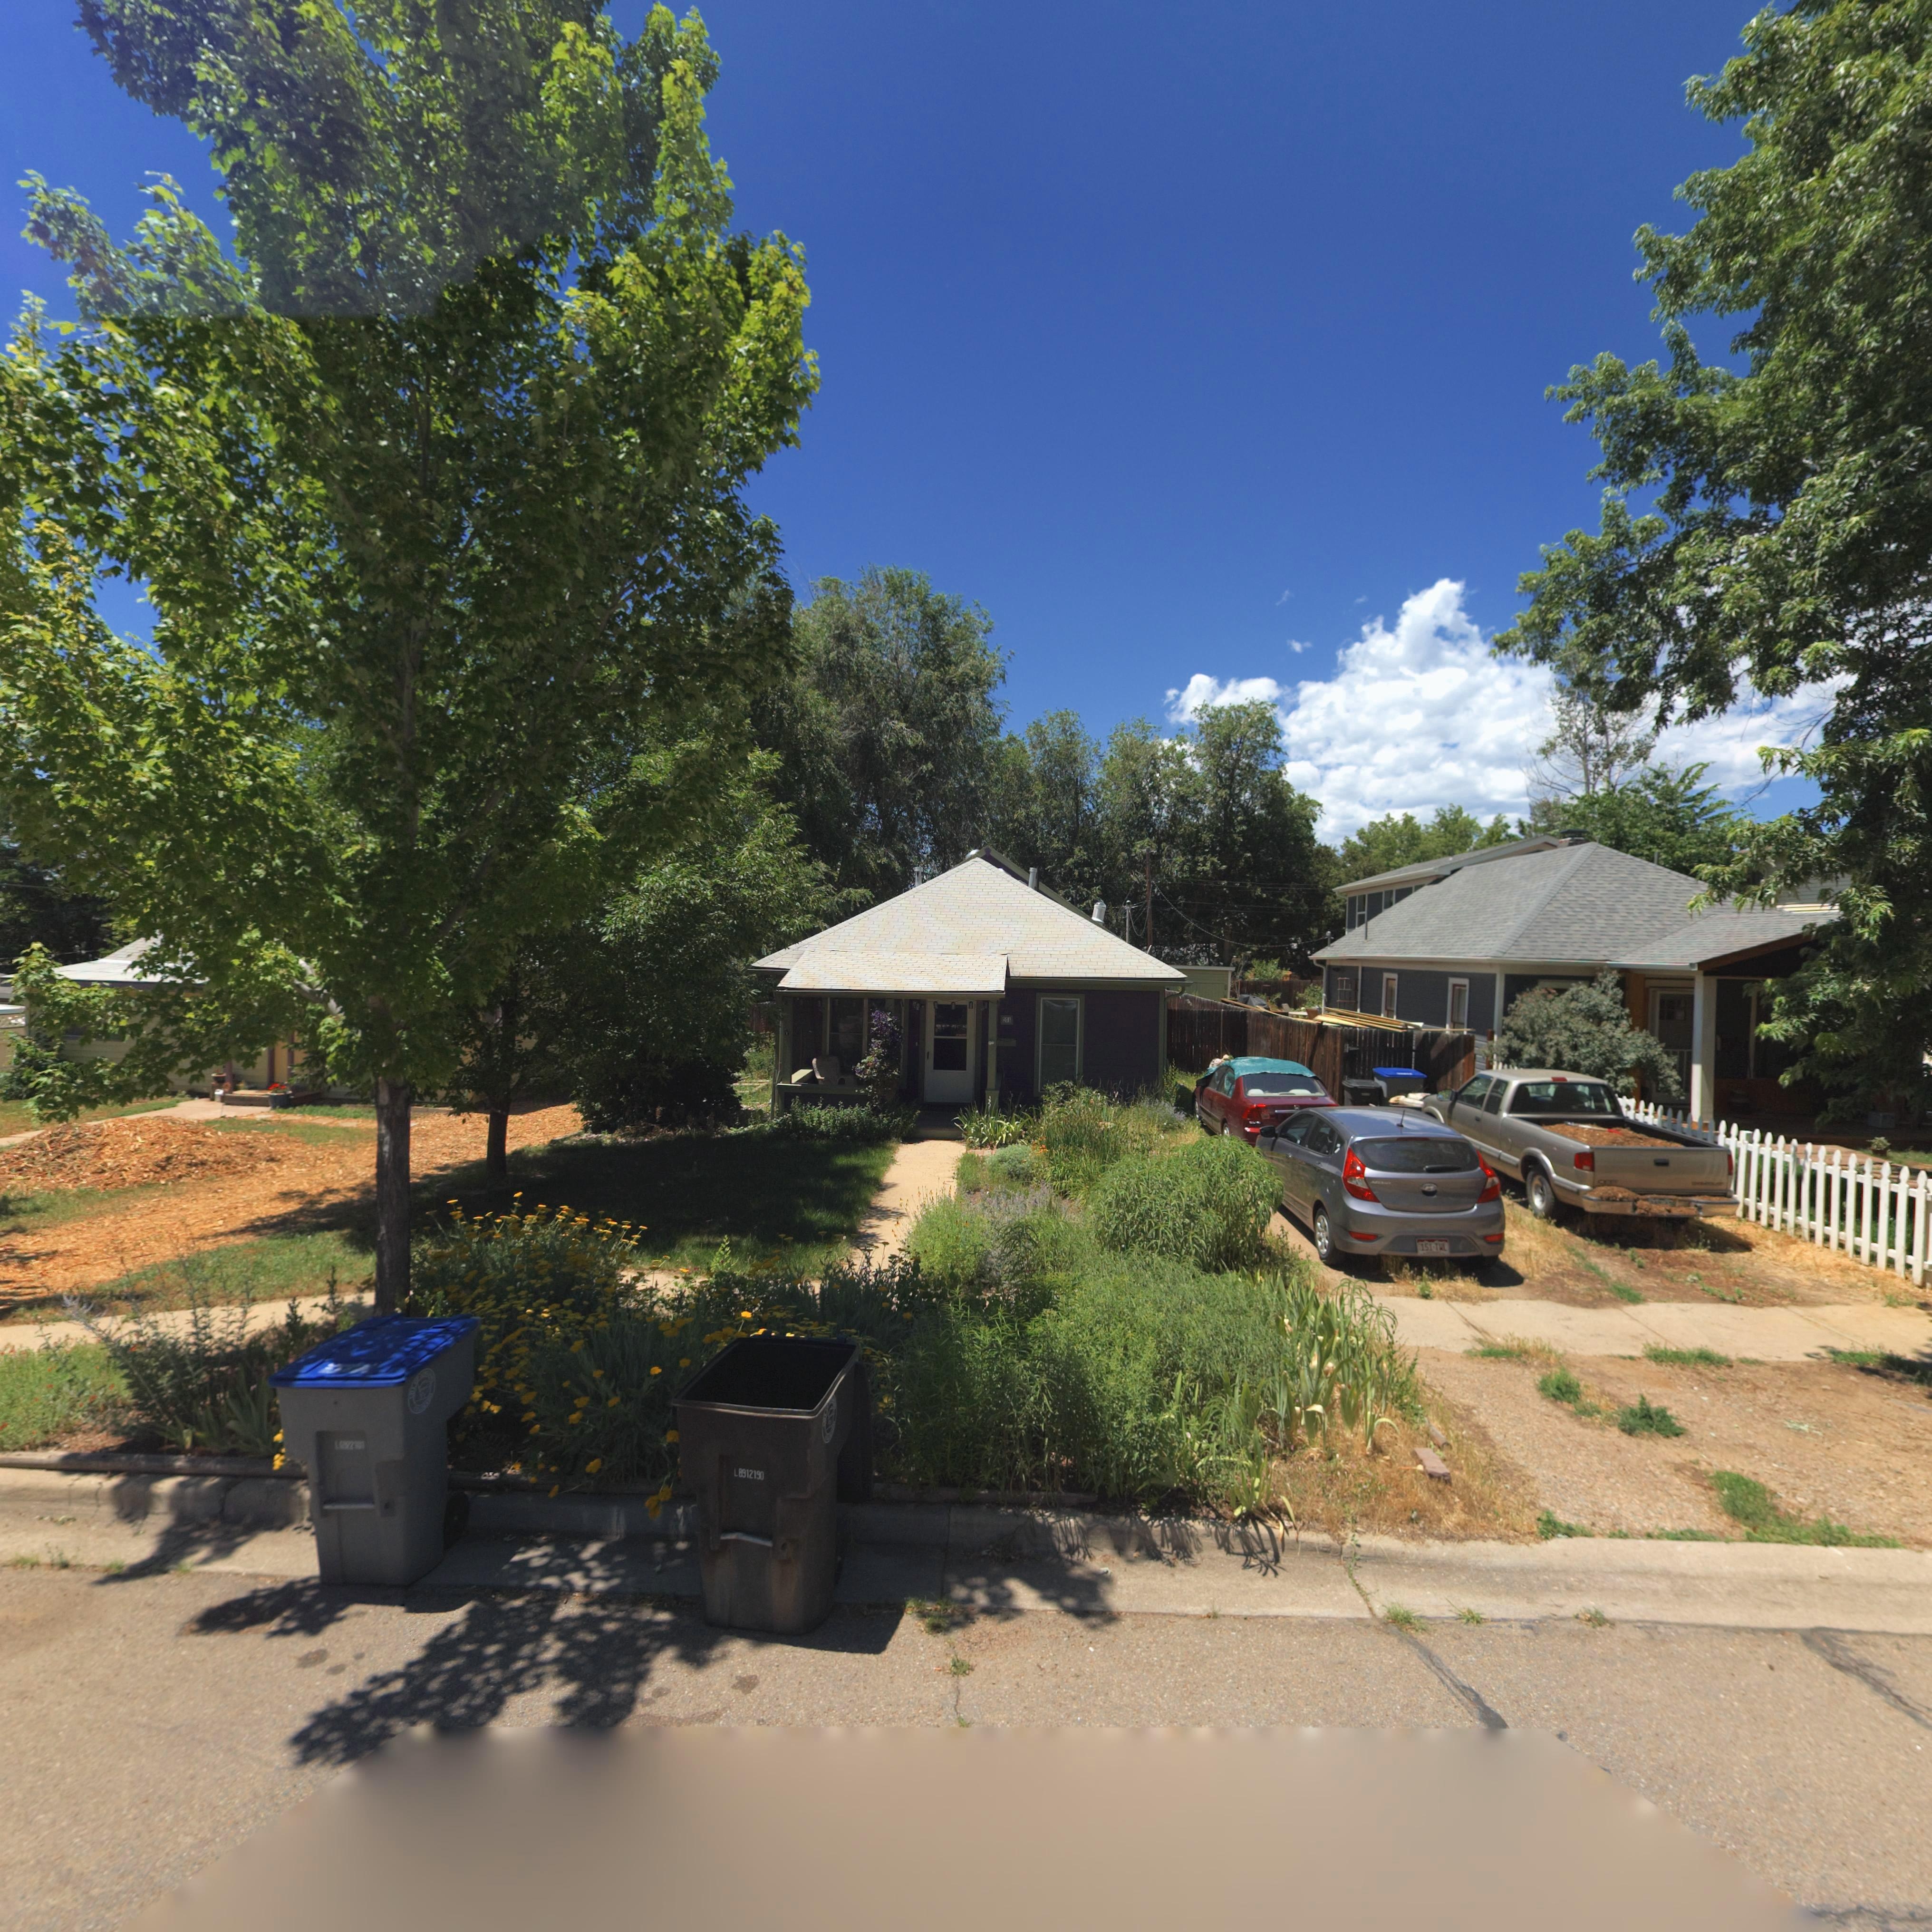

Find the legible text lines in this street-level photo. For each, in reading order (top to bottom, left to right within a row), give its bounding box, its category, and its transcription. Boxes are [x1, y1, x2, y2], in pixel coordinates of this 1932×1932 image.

[1002, 1017, 1011, 1022] StreetNumber: *01